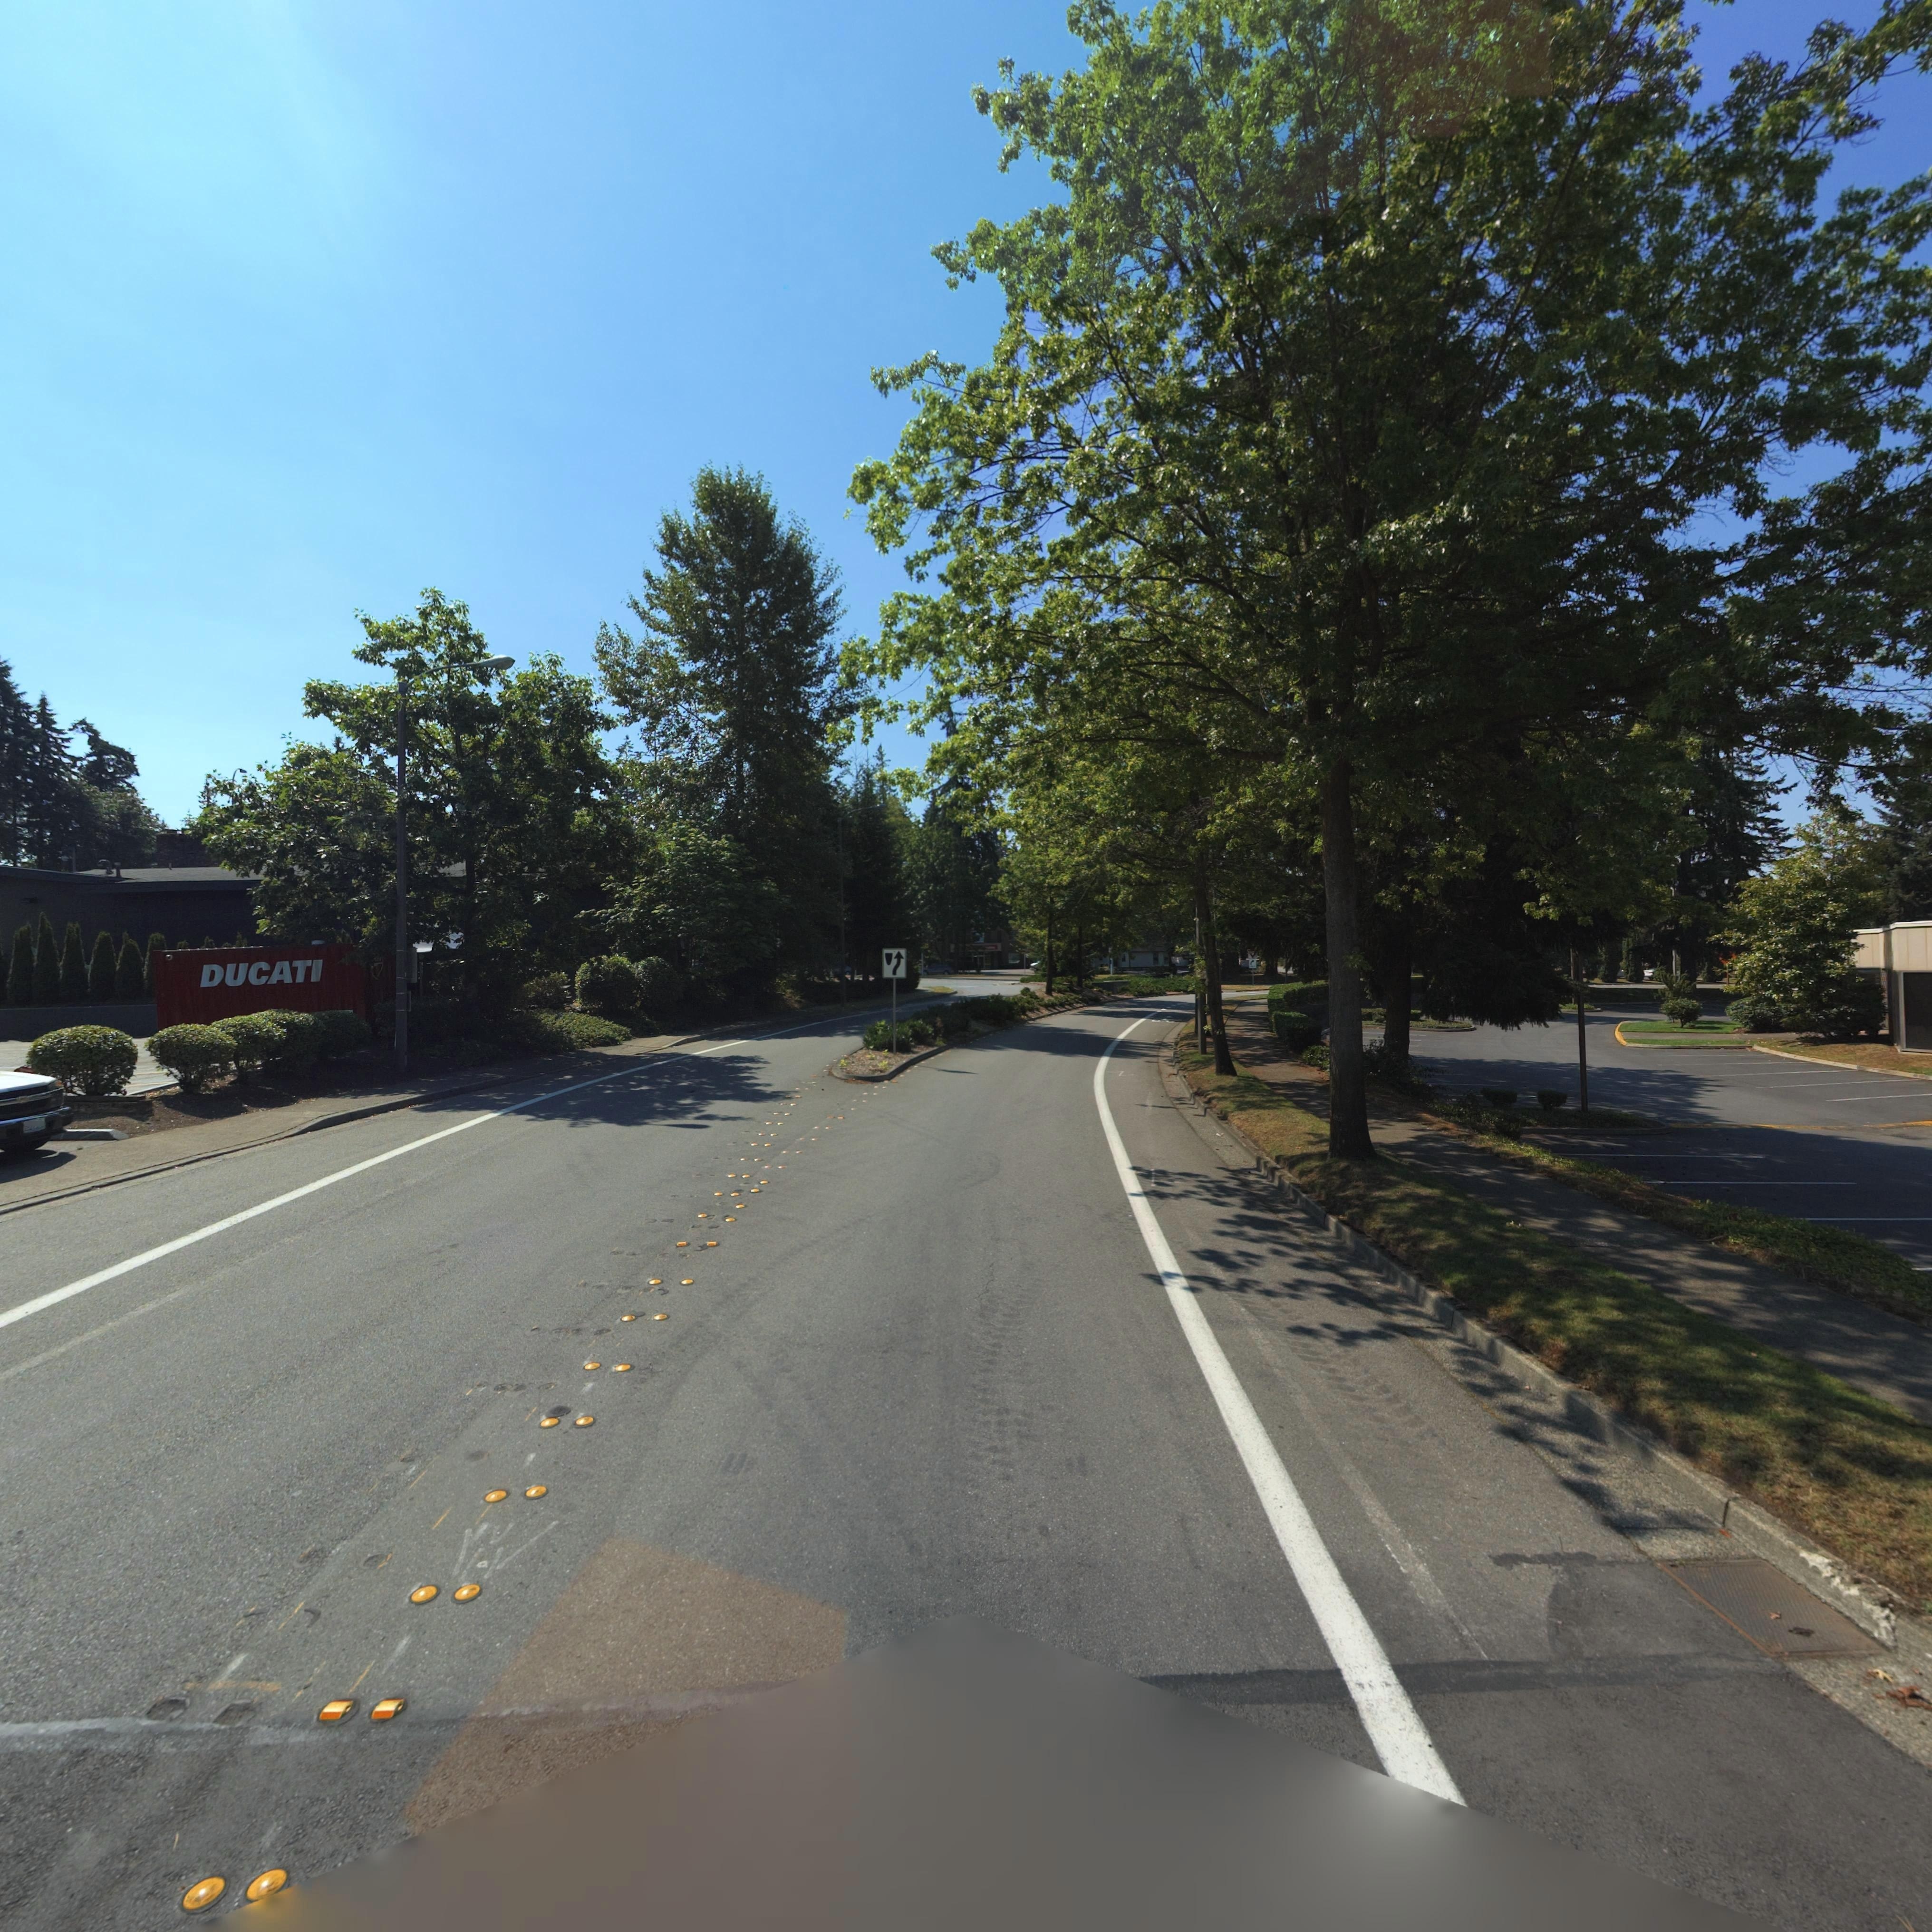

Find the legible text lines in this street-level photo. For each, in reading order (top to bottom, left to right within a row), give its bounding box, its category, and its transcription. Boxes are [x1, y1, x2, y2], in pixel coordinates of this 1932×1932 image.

[199, 958, 324, 987] BusinessName: DUCATI